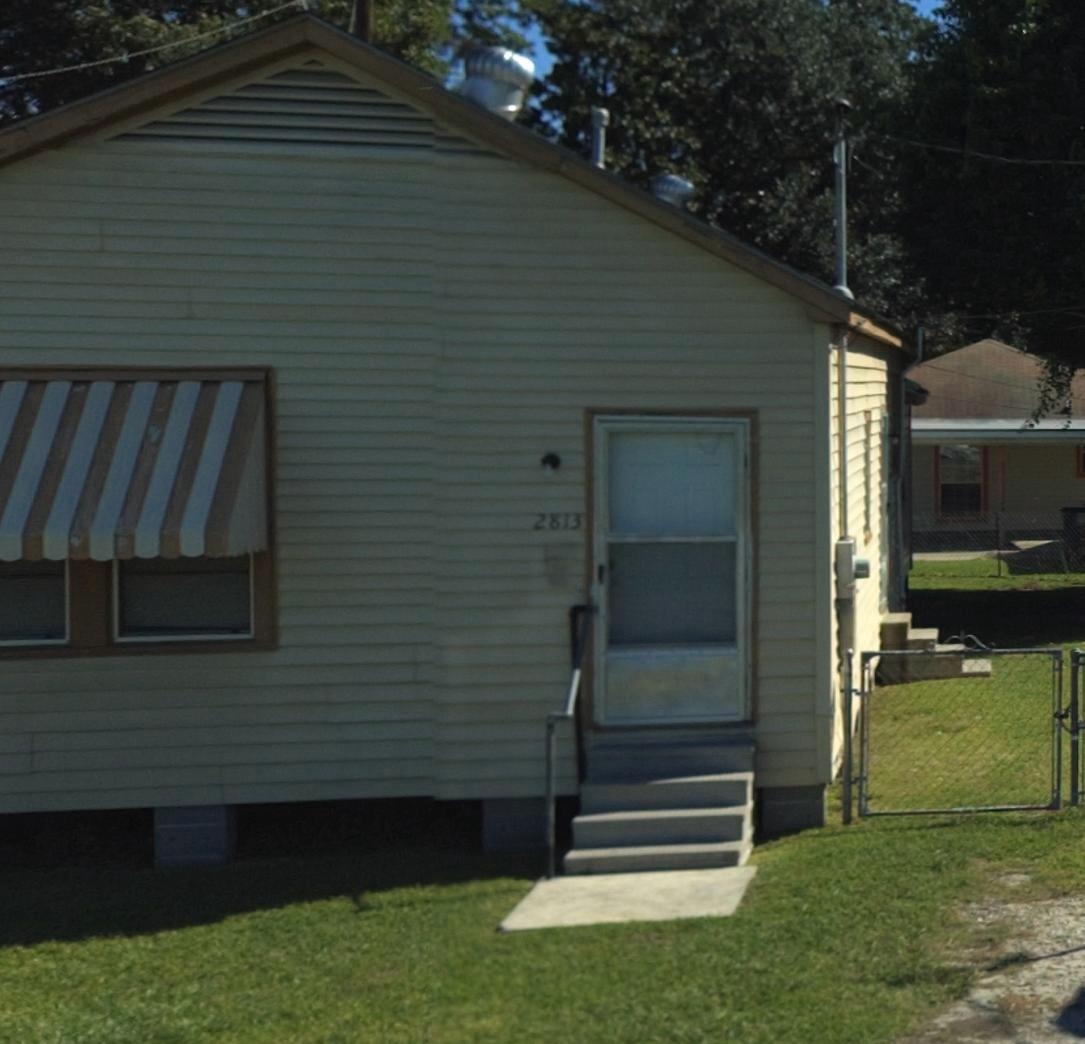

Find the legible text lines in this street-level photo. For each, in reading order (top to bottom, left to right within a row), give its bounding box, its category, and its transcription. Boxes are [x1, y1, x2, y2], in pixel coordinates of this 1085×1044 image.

[532, 511, 583, 530] StreetNumber: 2813